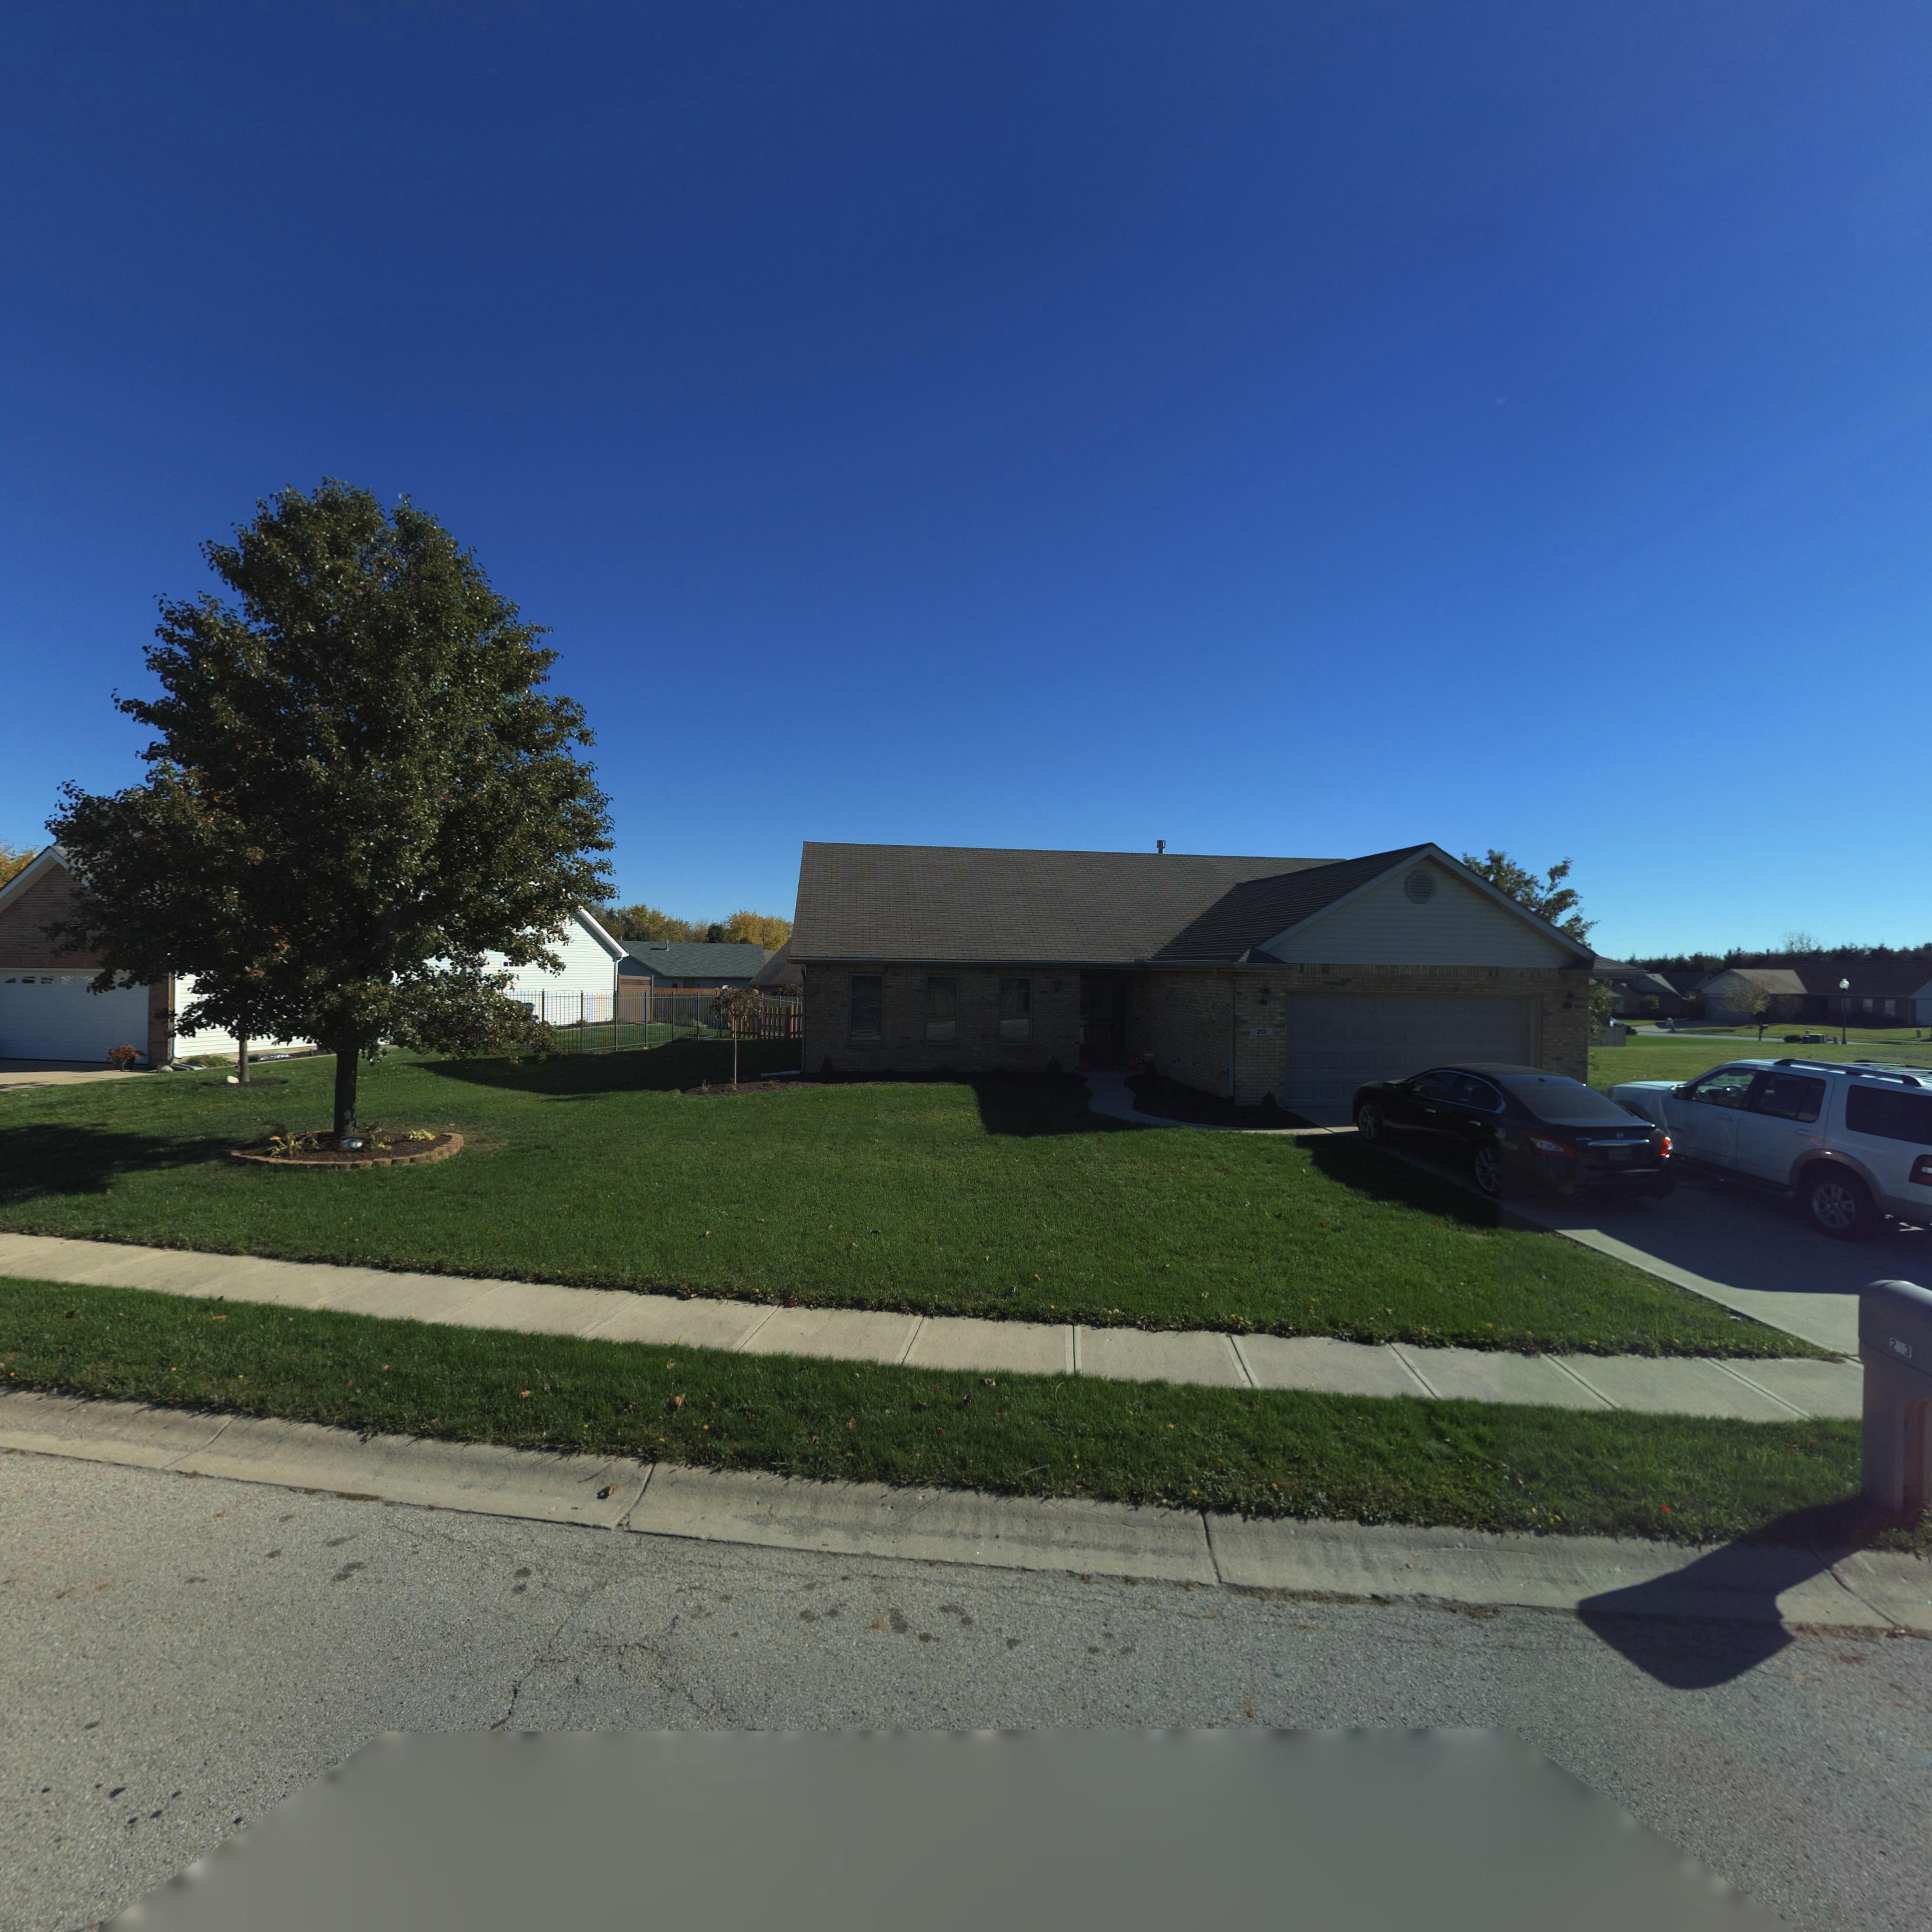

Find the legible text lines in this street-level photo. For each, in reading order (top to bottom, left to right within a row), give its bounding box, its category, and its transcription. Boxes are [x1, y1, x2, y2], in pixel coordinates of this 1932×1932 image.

[1256, 1029, 1266, 1034] StreetNumber: 213
[1889, 1338, 1911, 1358] StreetNumber: 2*3